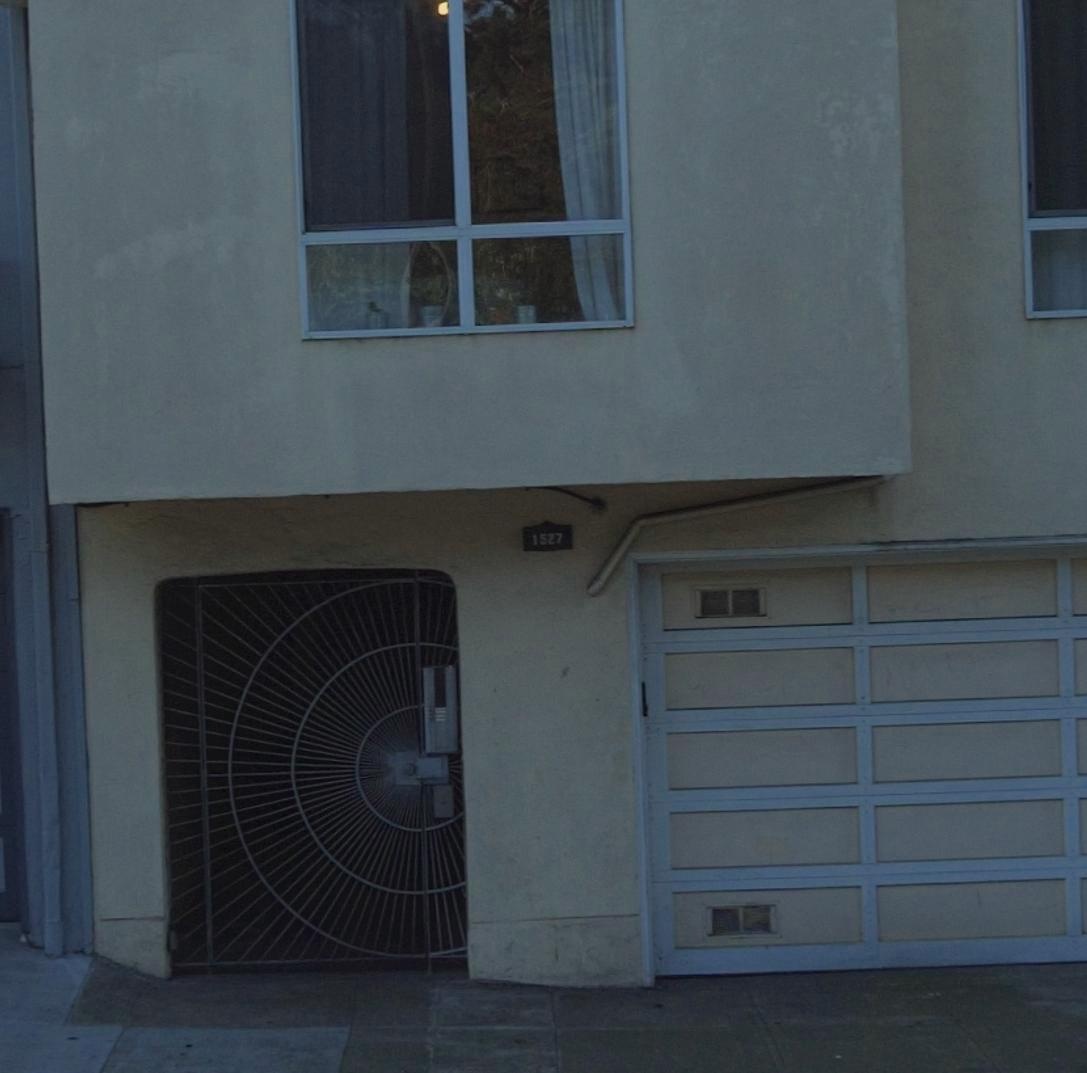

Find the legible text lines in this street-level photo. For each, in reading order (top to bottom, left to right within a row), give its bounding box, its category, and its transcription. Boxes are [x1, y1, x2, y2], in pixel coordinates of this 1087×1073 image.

[531, 529, 564, 548] StreetNumber: 1527